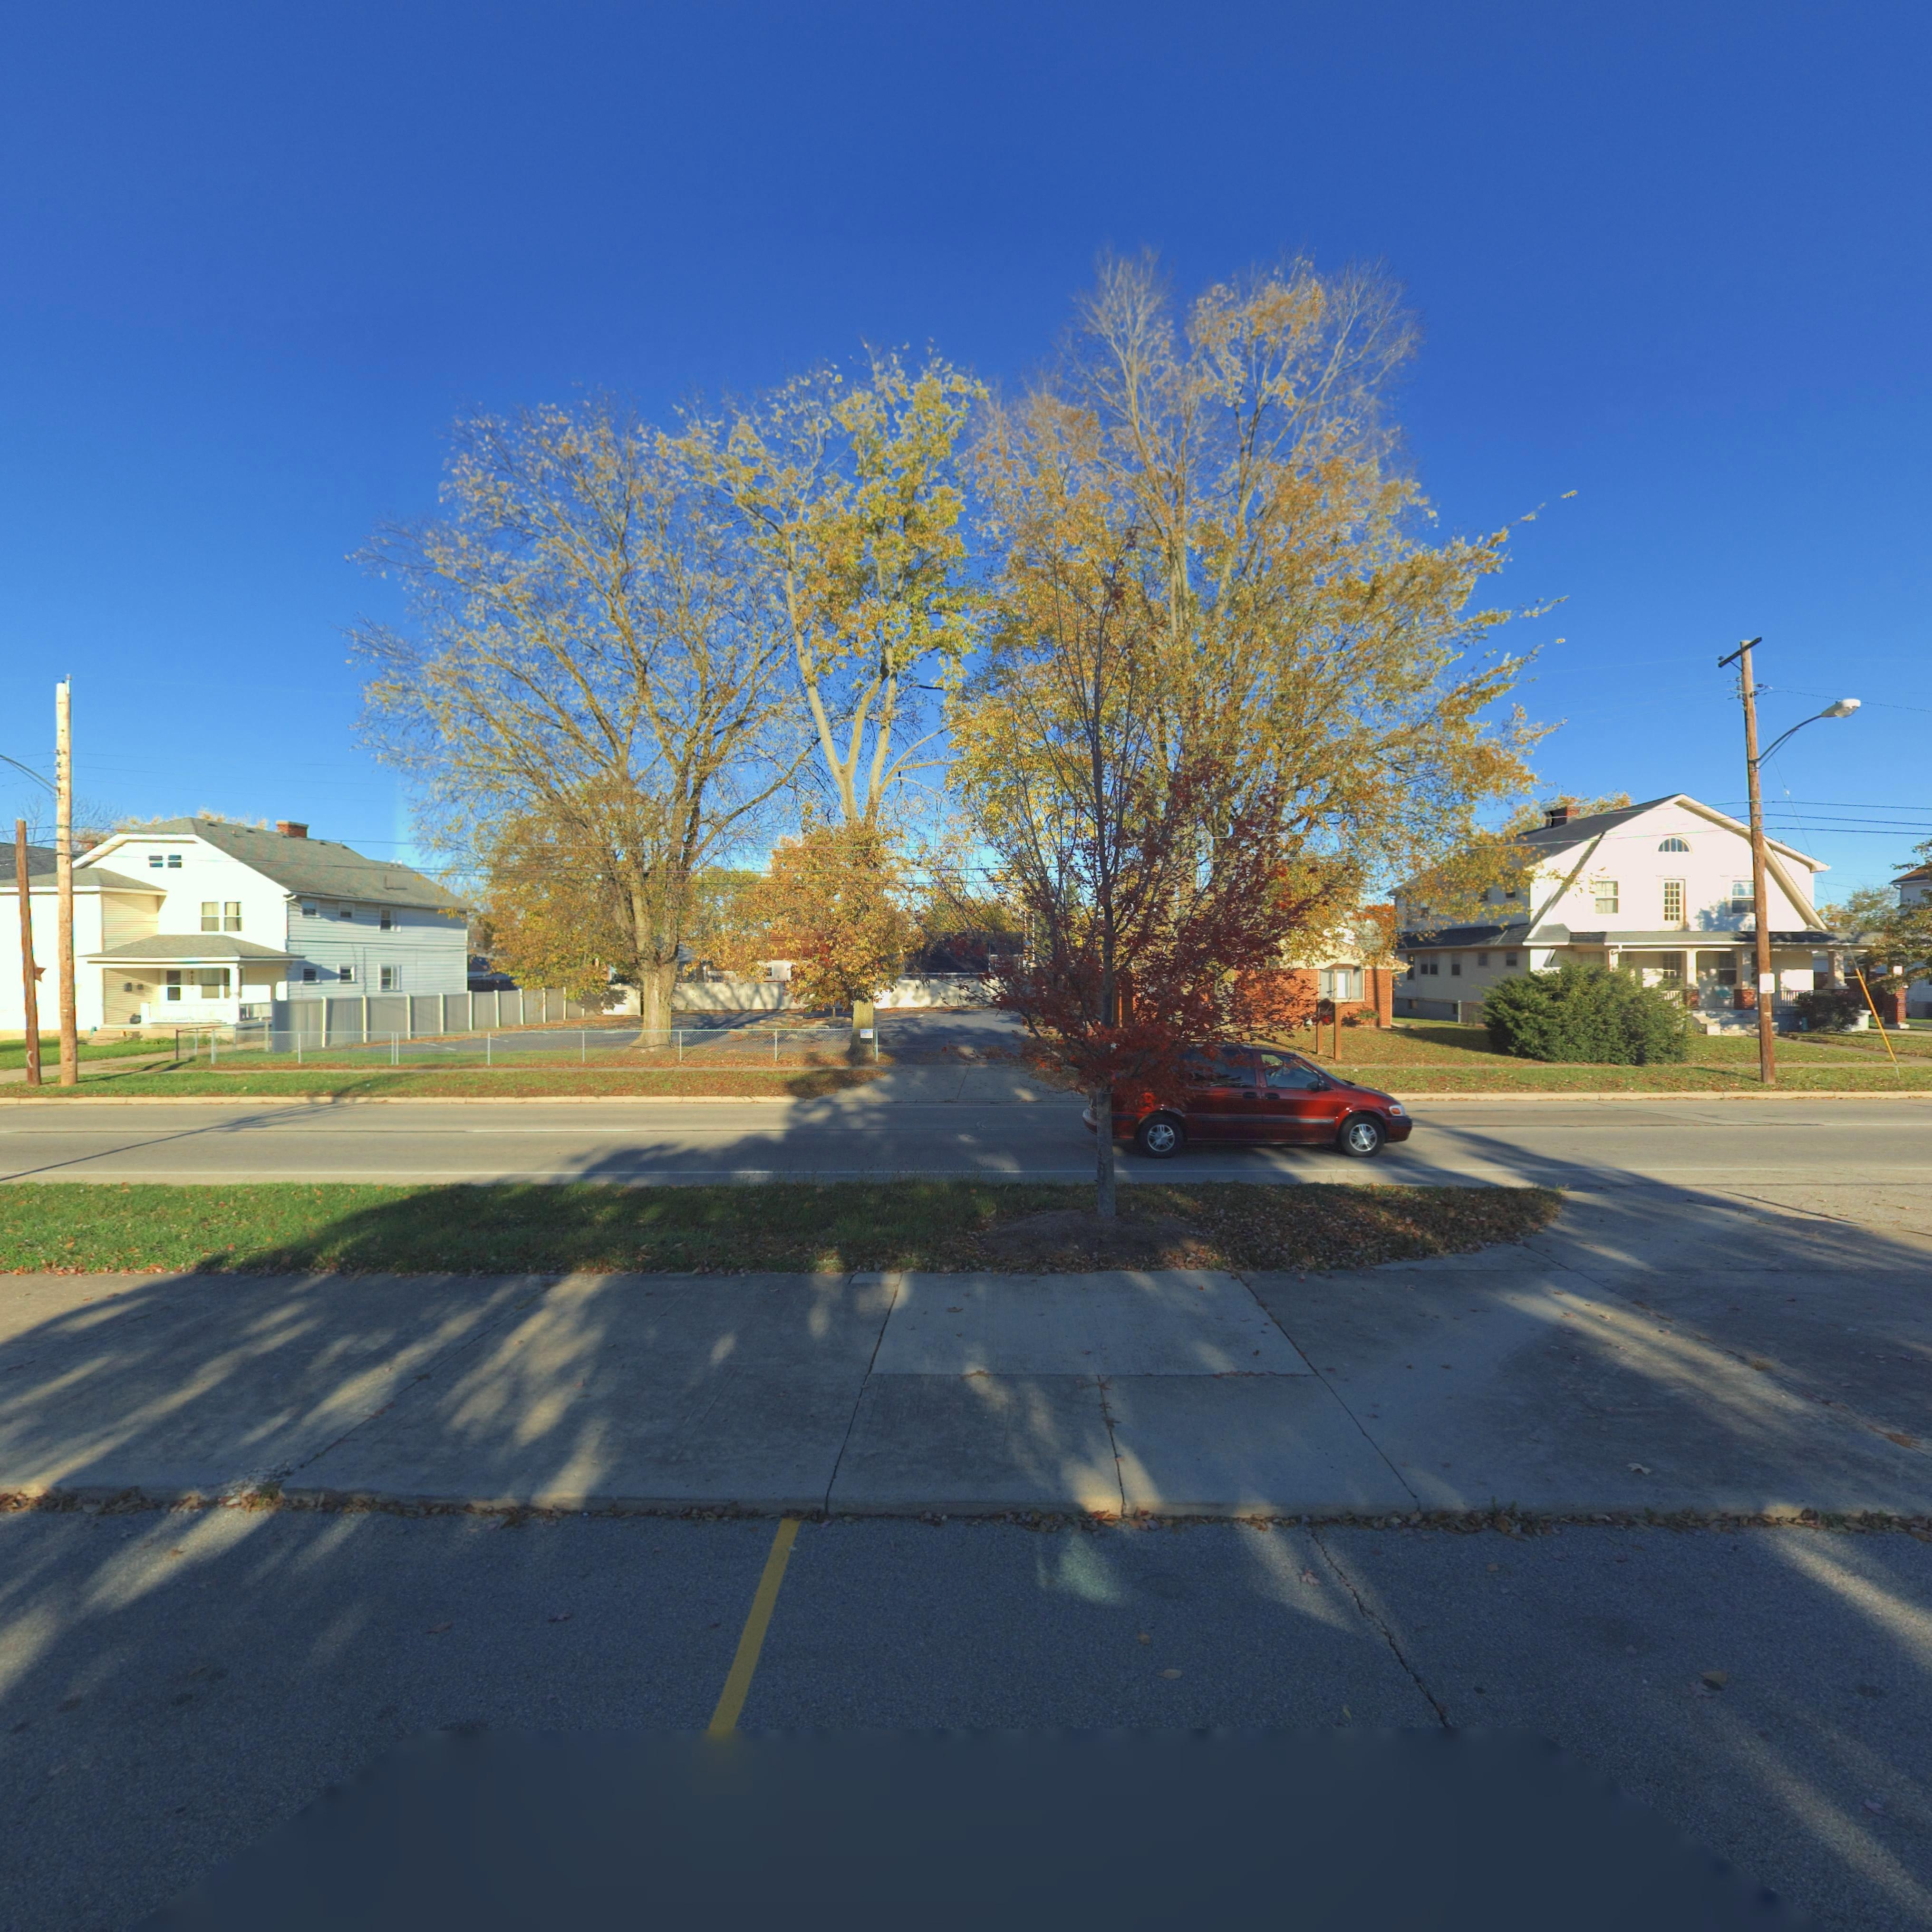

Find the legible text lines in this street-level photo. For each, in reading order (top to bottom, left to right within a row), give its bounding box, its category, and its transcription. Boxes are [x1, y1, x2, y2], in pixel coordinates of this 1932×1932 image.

[188, 969, 195, 985] StreetNumber: 413